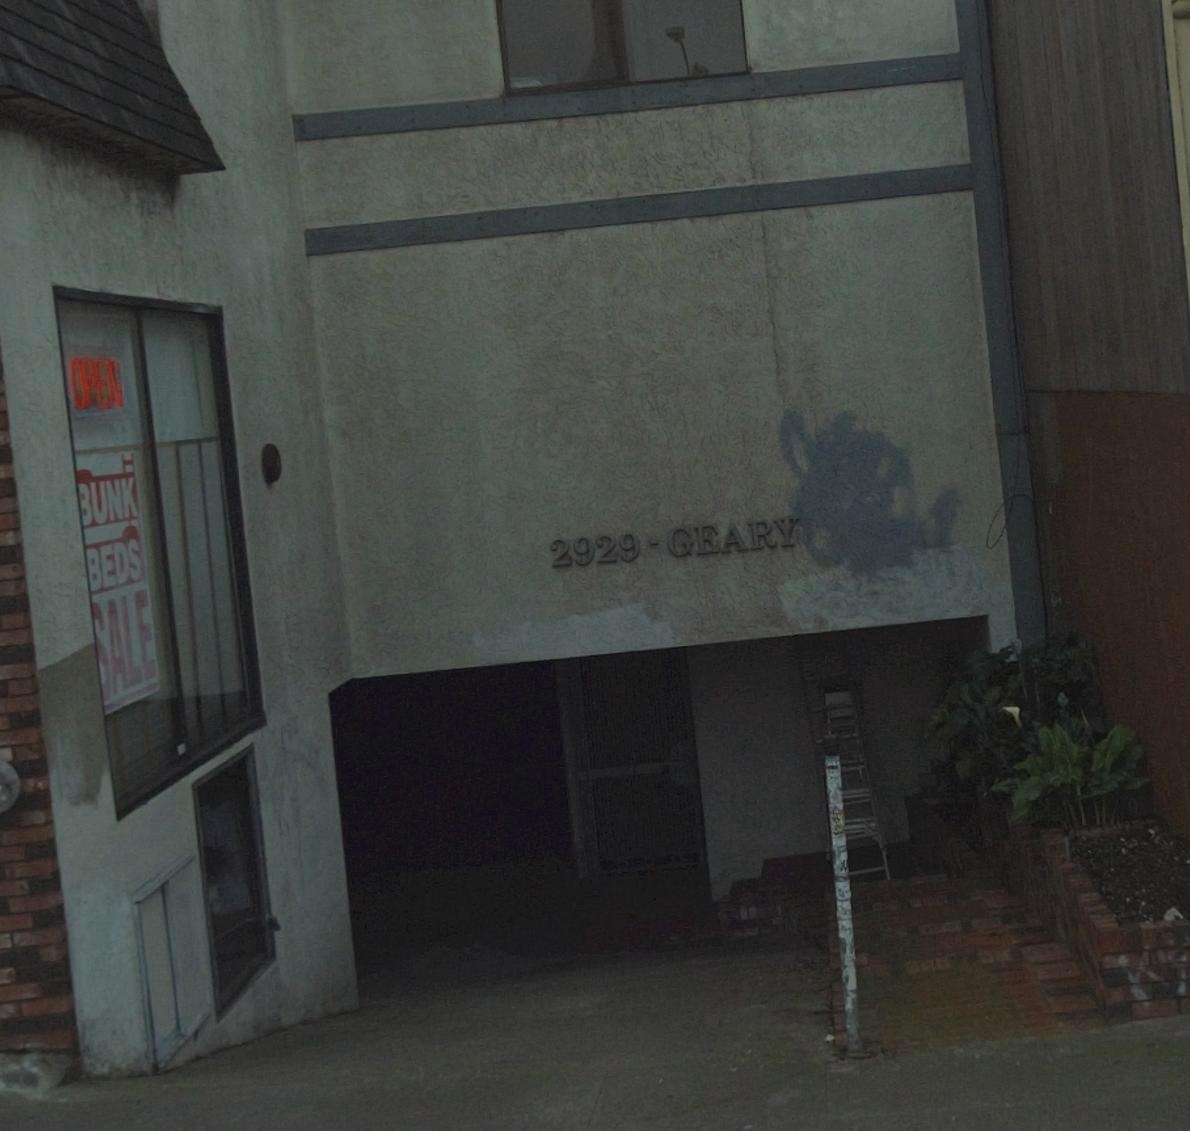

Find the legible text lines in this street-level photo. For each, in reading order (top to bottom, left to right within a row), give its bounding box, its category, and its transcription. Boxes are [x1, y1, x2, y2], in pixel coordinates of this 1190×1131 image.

[69, 358, 125, 411] None: OPEN
[76, 477, 140, 530] None: BUNK
[84, 537, 145, 594] None: BEDS
[549, 529, 643, 570] StreetNumber: 2929
[665, 515, 802, 559] StreetName: GEARY
[107, 587, 158, 697] None: ALE